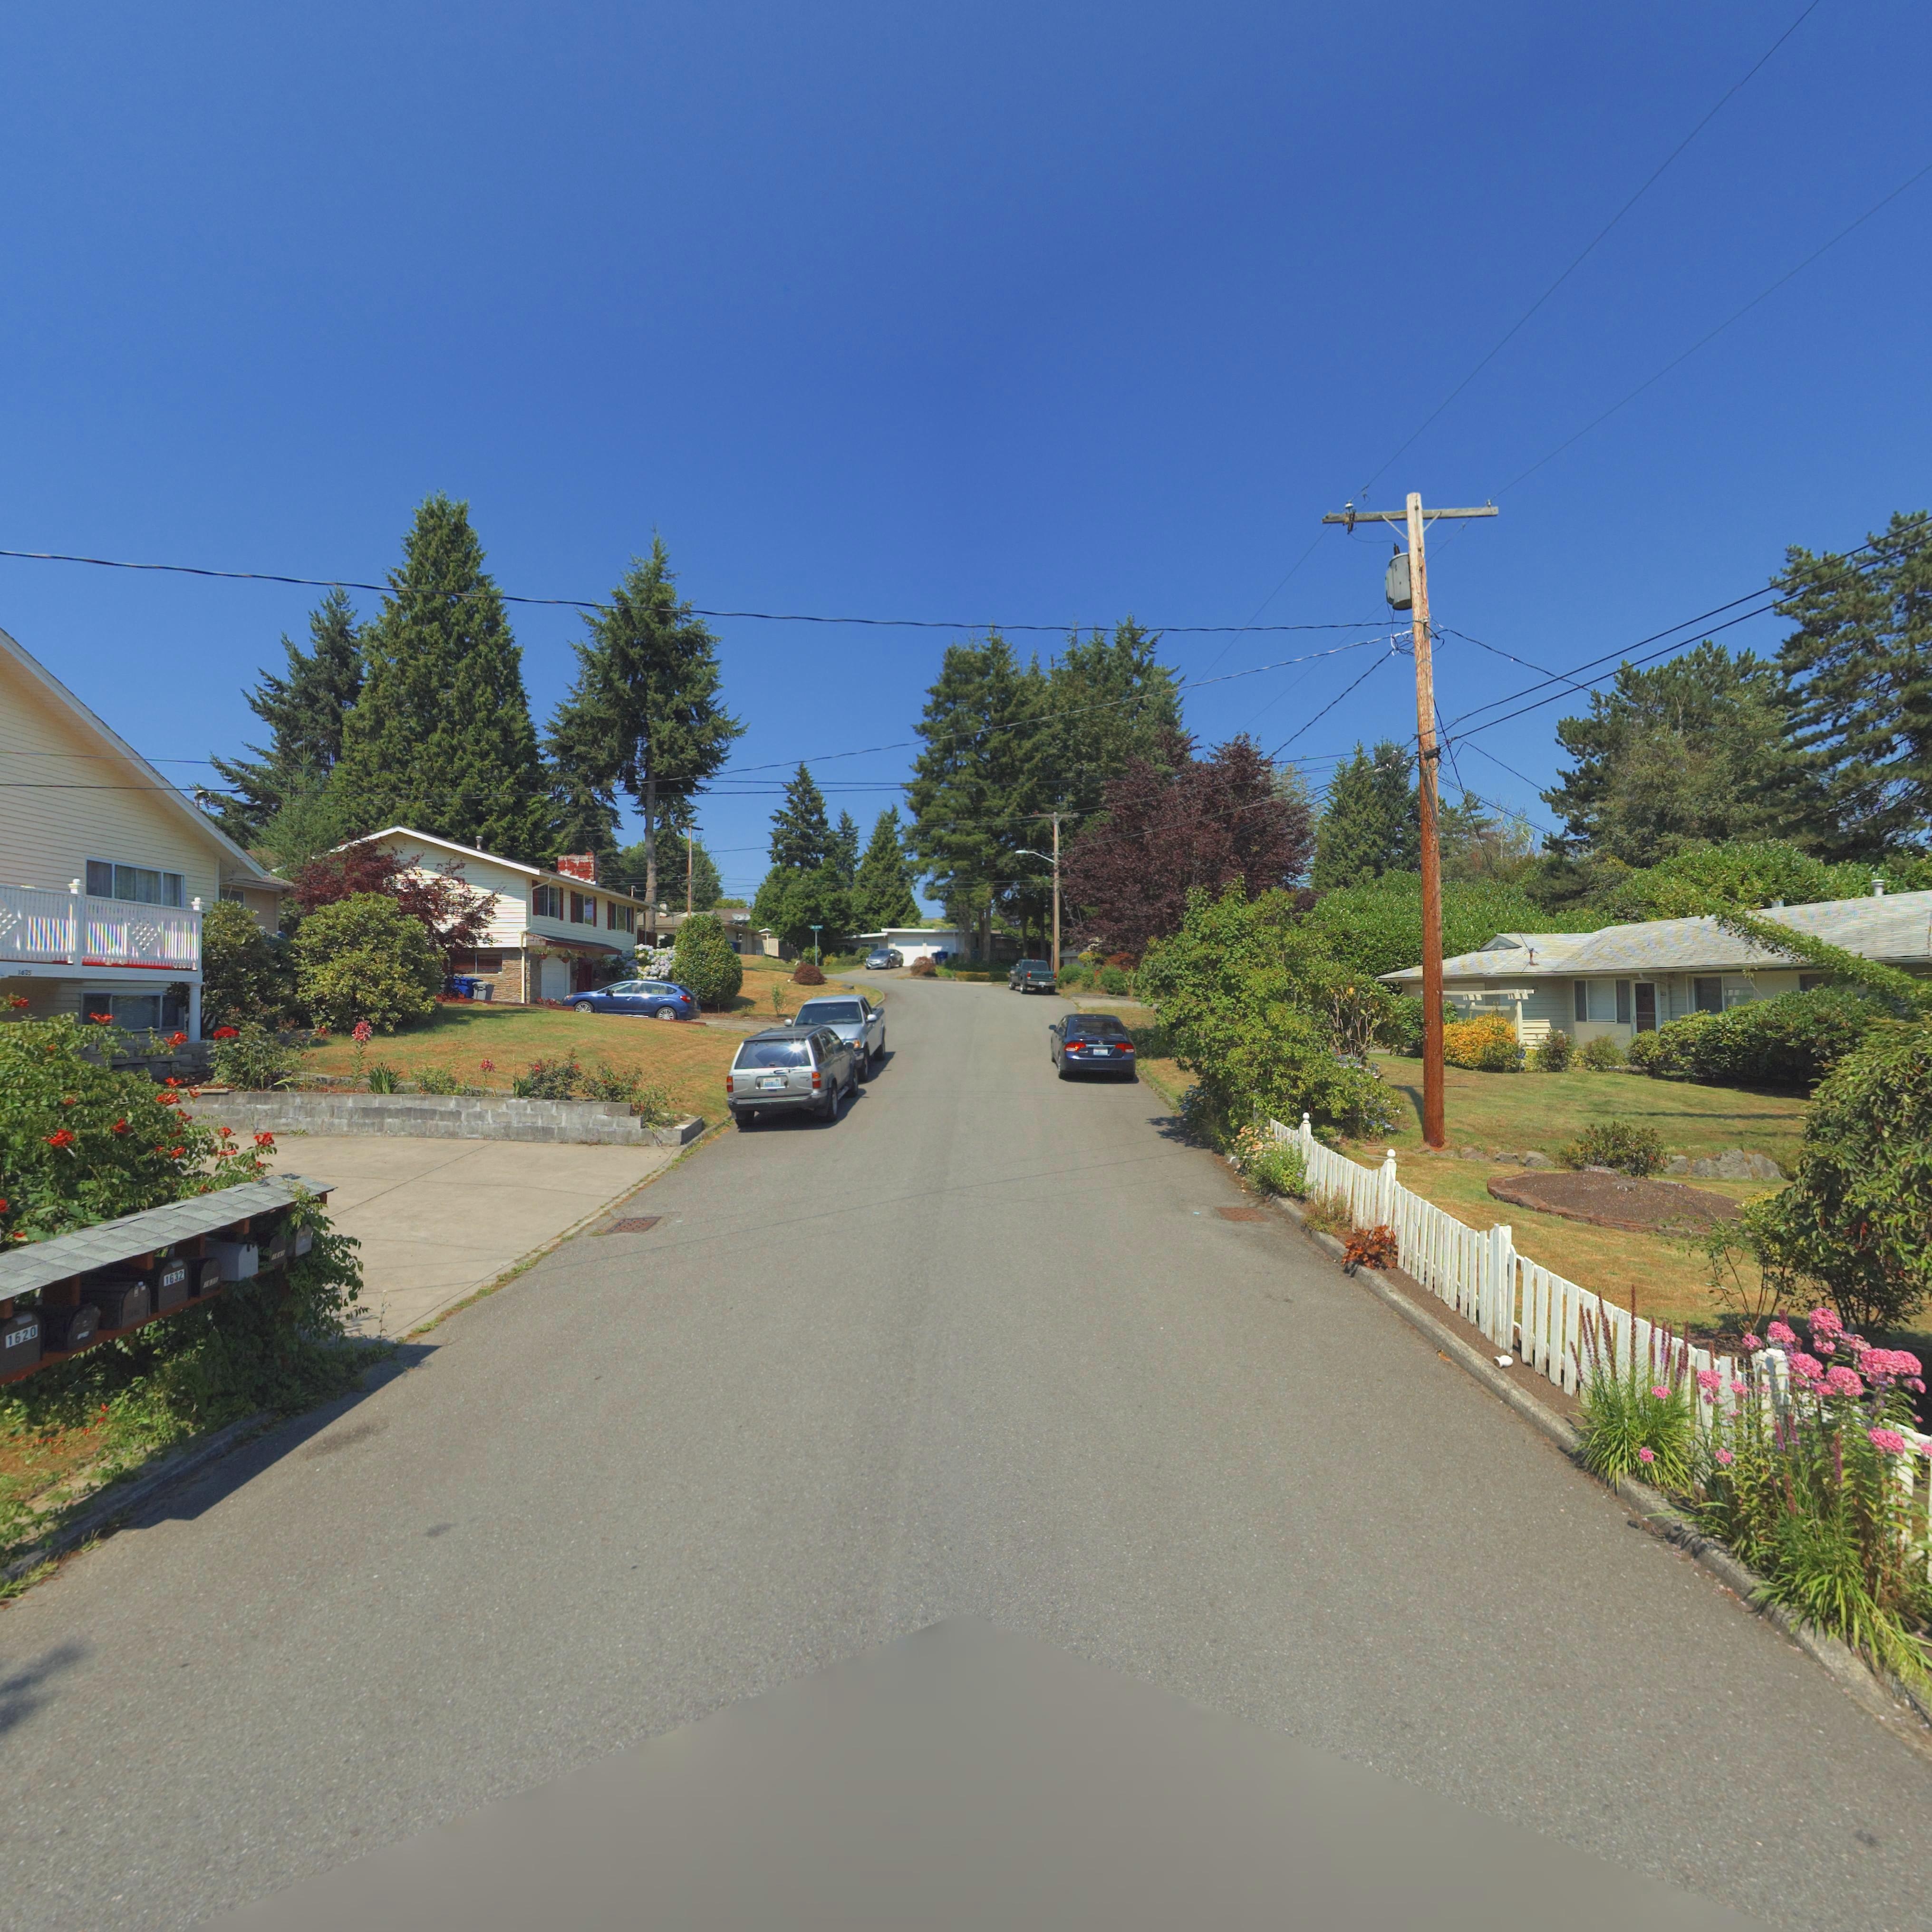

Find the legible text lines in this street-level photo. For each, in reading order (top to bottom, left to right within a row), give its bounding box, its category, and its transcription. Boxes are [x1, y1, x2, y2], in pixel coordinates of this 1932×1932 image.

[163, 1268, 185, 1285] StreetNumber: 1632
[6, 1324, 39, 1349] StreetNumber: 1620